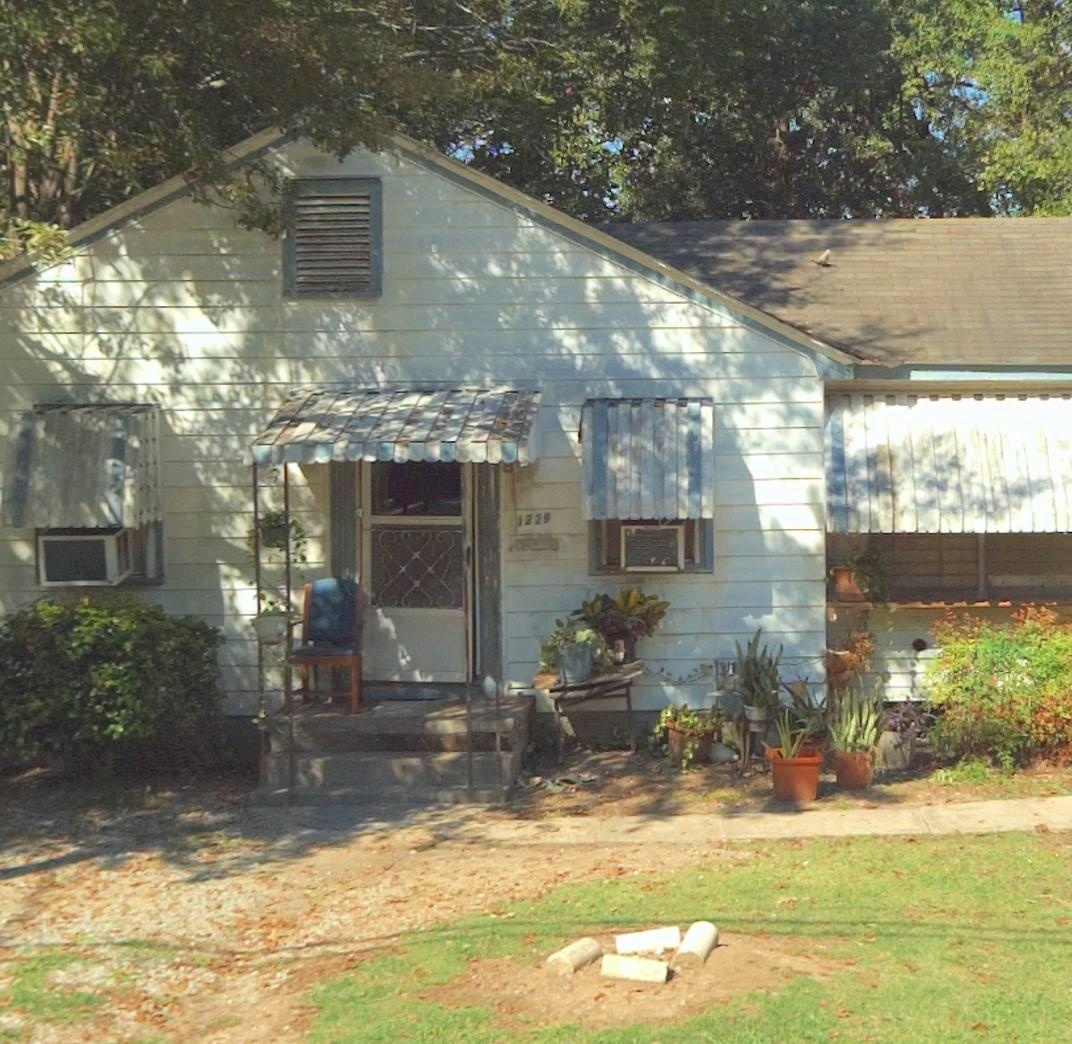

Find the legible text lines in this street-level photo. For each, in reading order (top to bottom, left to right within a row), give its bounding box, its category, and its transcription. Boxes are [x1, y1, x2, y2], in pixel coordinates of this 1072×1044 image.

[516, 511, 552, 528] StreetNumber: 1229